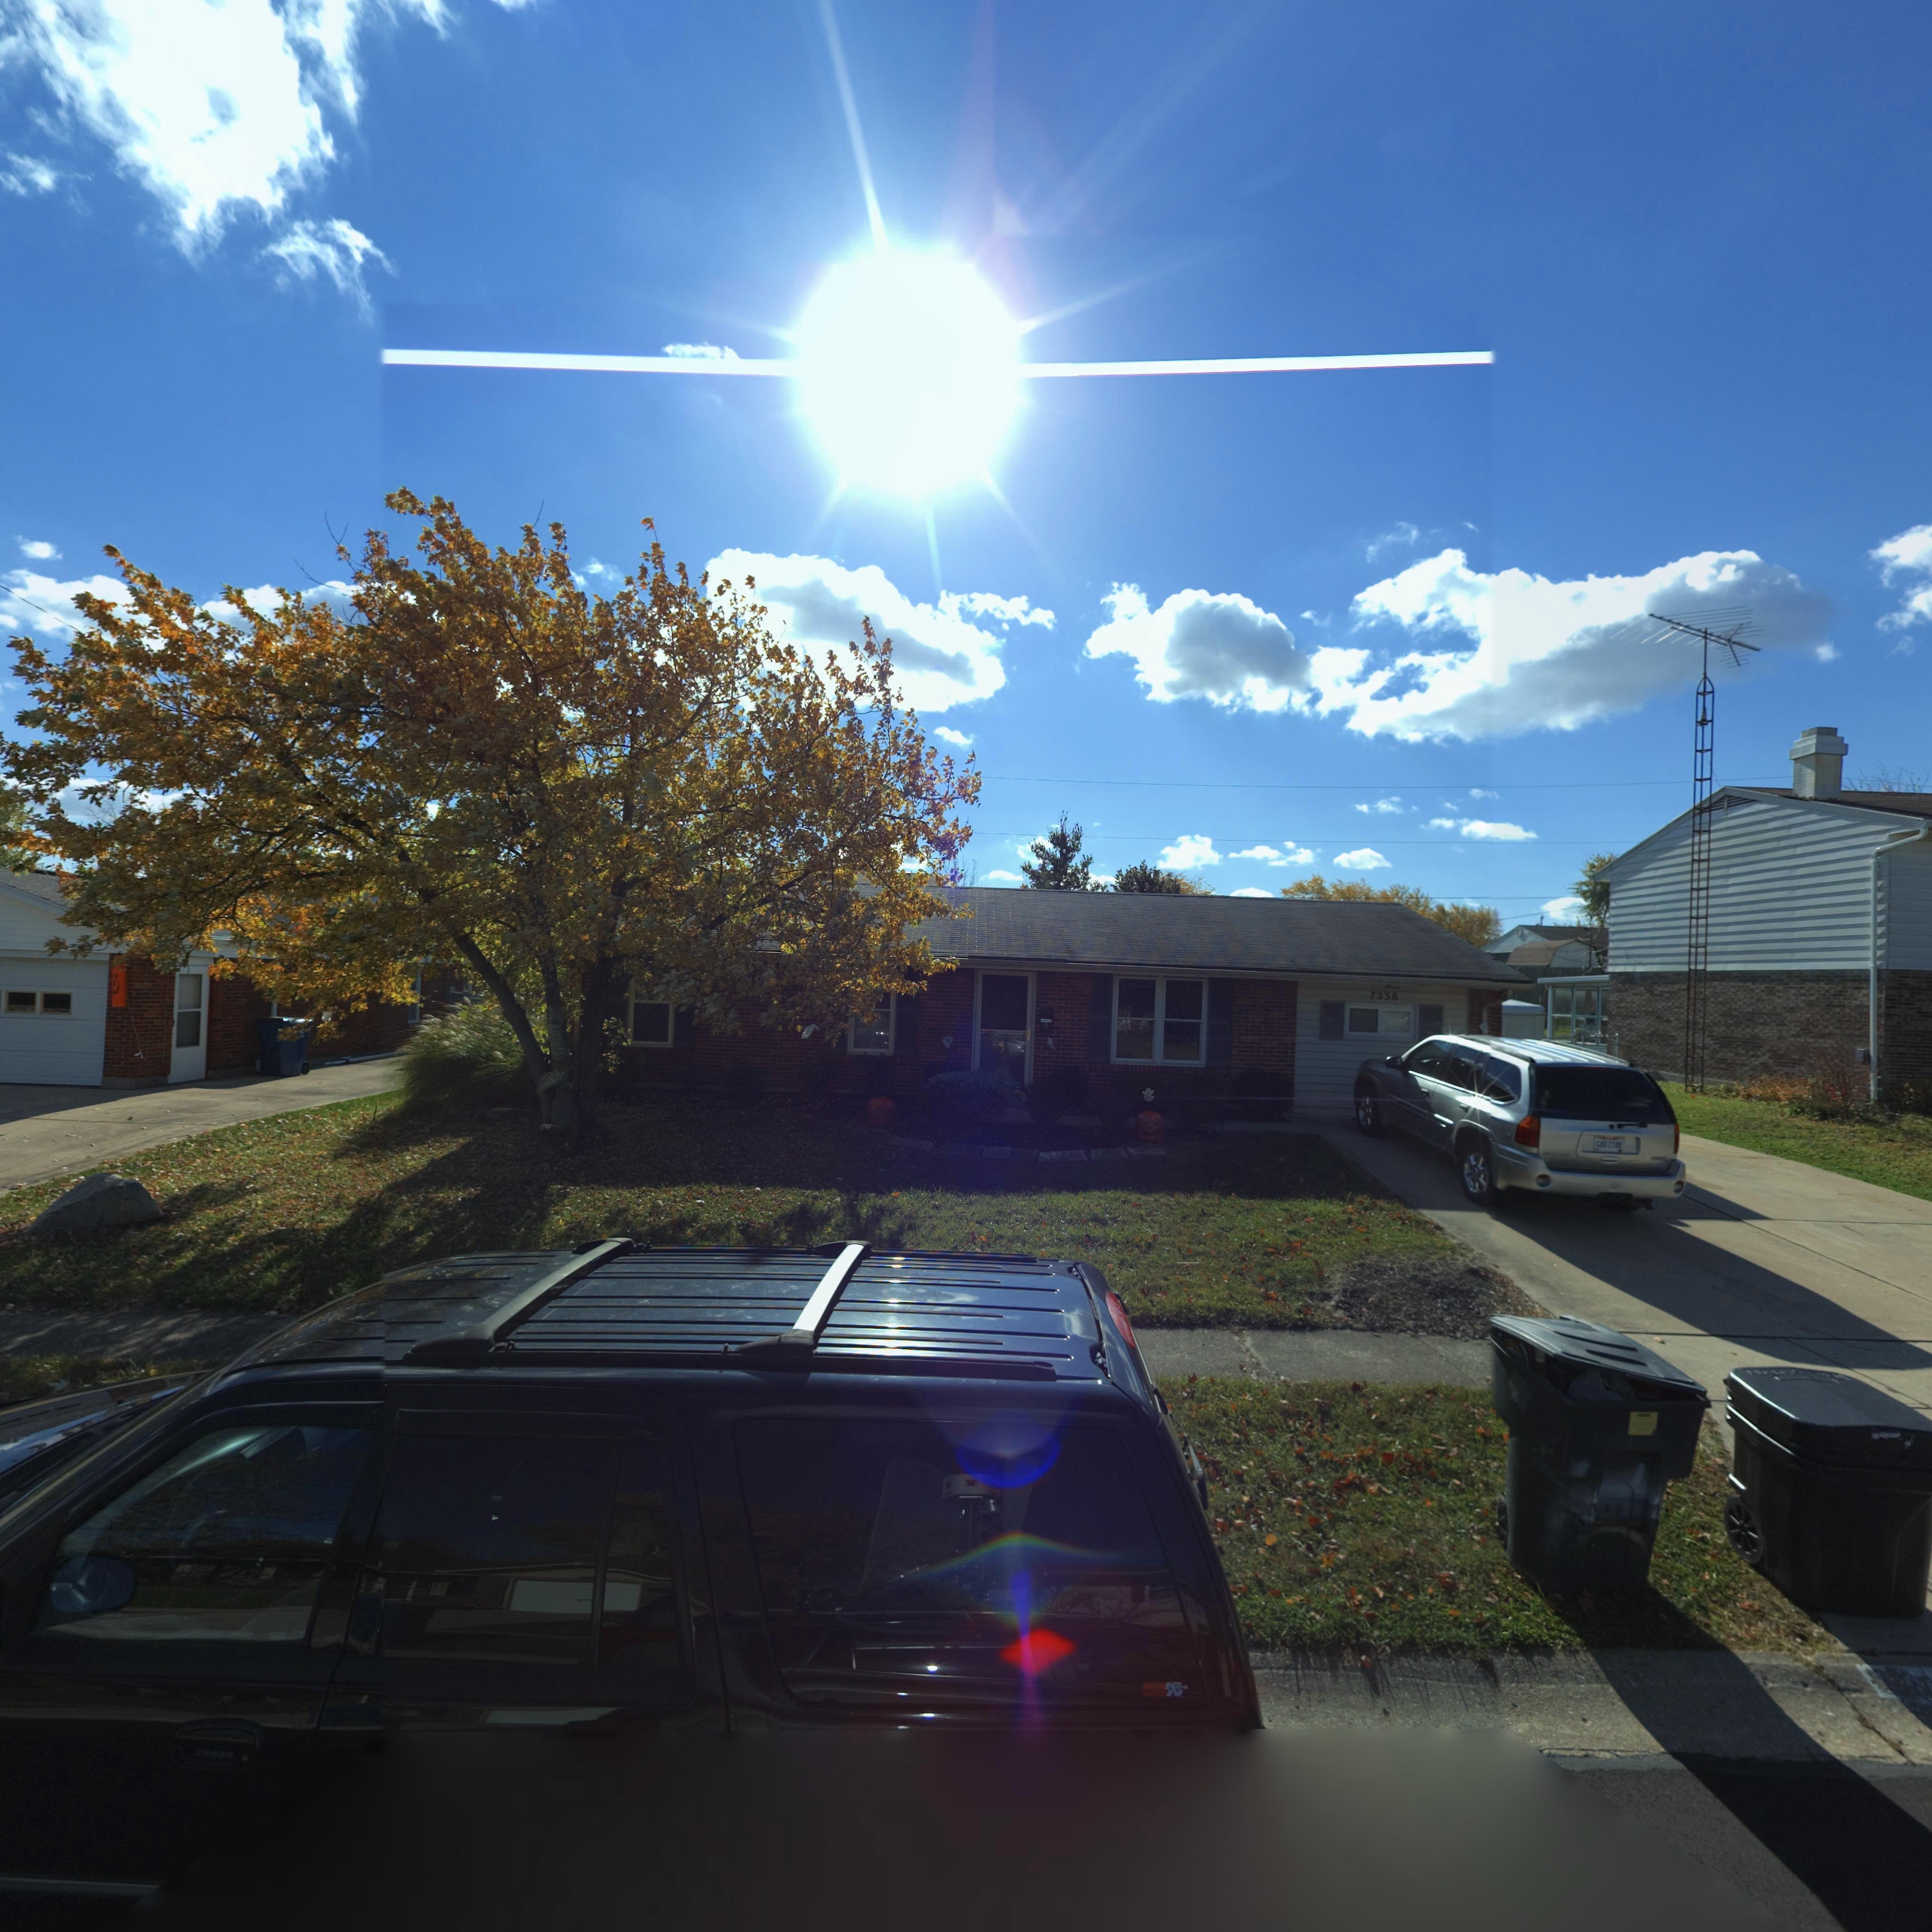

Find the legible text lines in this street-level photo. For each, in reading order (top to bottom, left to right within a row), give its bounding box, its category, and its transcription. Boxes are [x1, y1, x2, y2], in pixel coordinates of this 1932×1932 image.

[1369, 990, 1400, 1002] StreetNumber: 7238